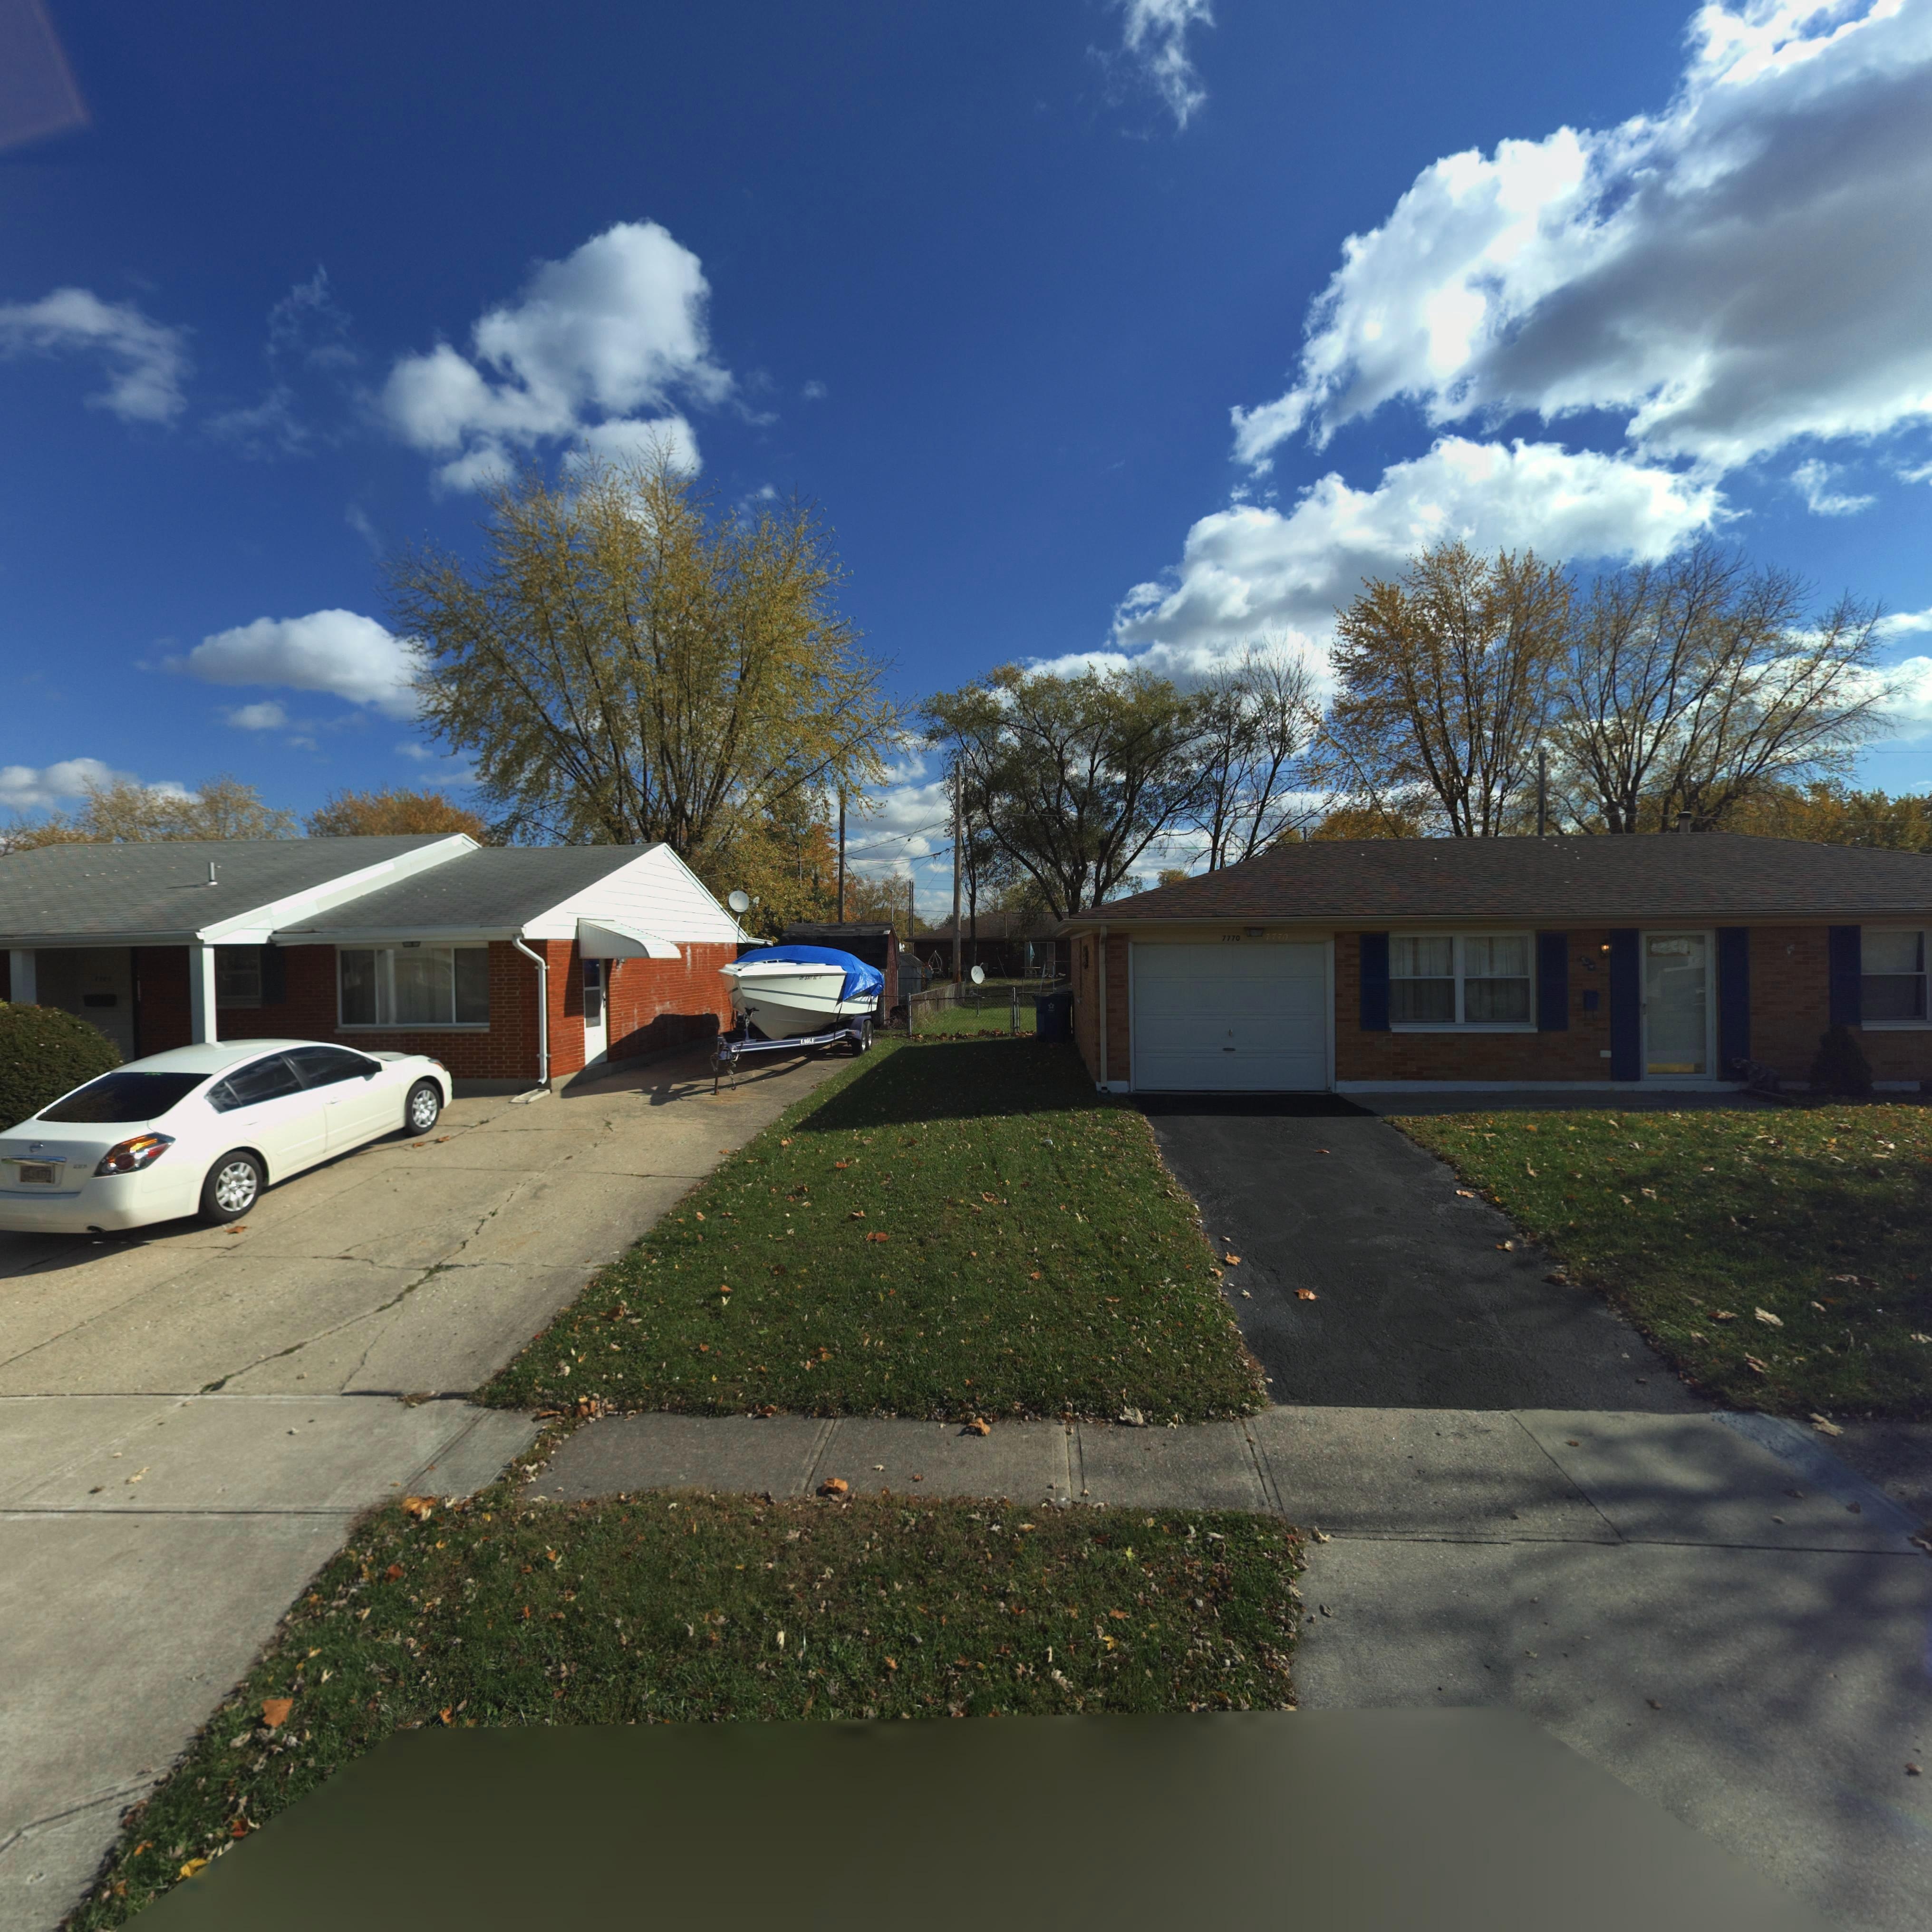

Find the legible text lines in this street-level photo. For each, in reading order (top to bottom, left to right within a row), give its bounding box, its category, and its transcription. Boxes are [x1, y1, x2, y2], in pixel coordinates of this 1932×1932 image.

[1222, 935, 1240, 941] StreetNumber: 7770
[1265, 933, 1288, 941] StreetNumber: 7770
[93, 975, 112, 982] StreetNumber: 77*0